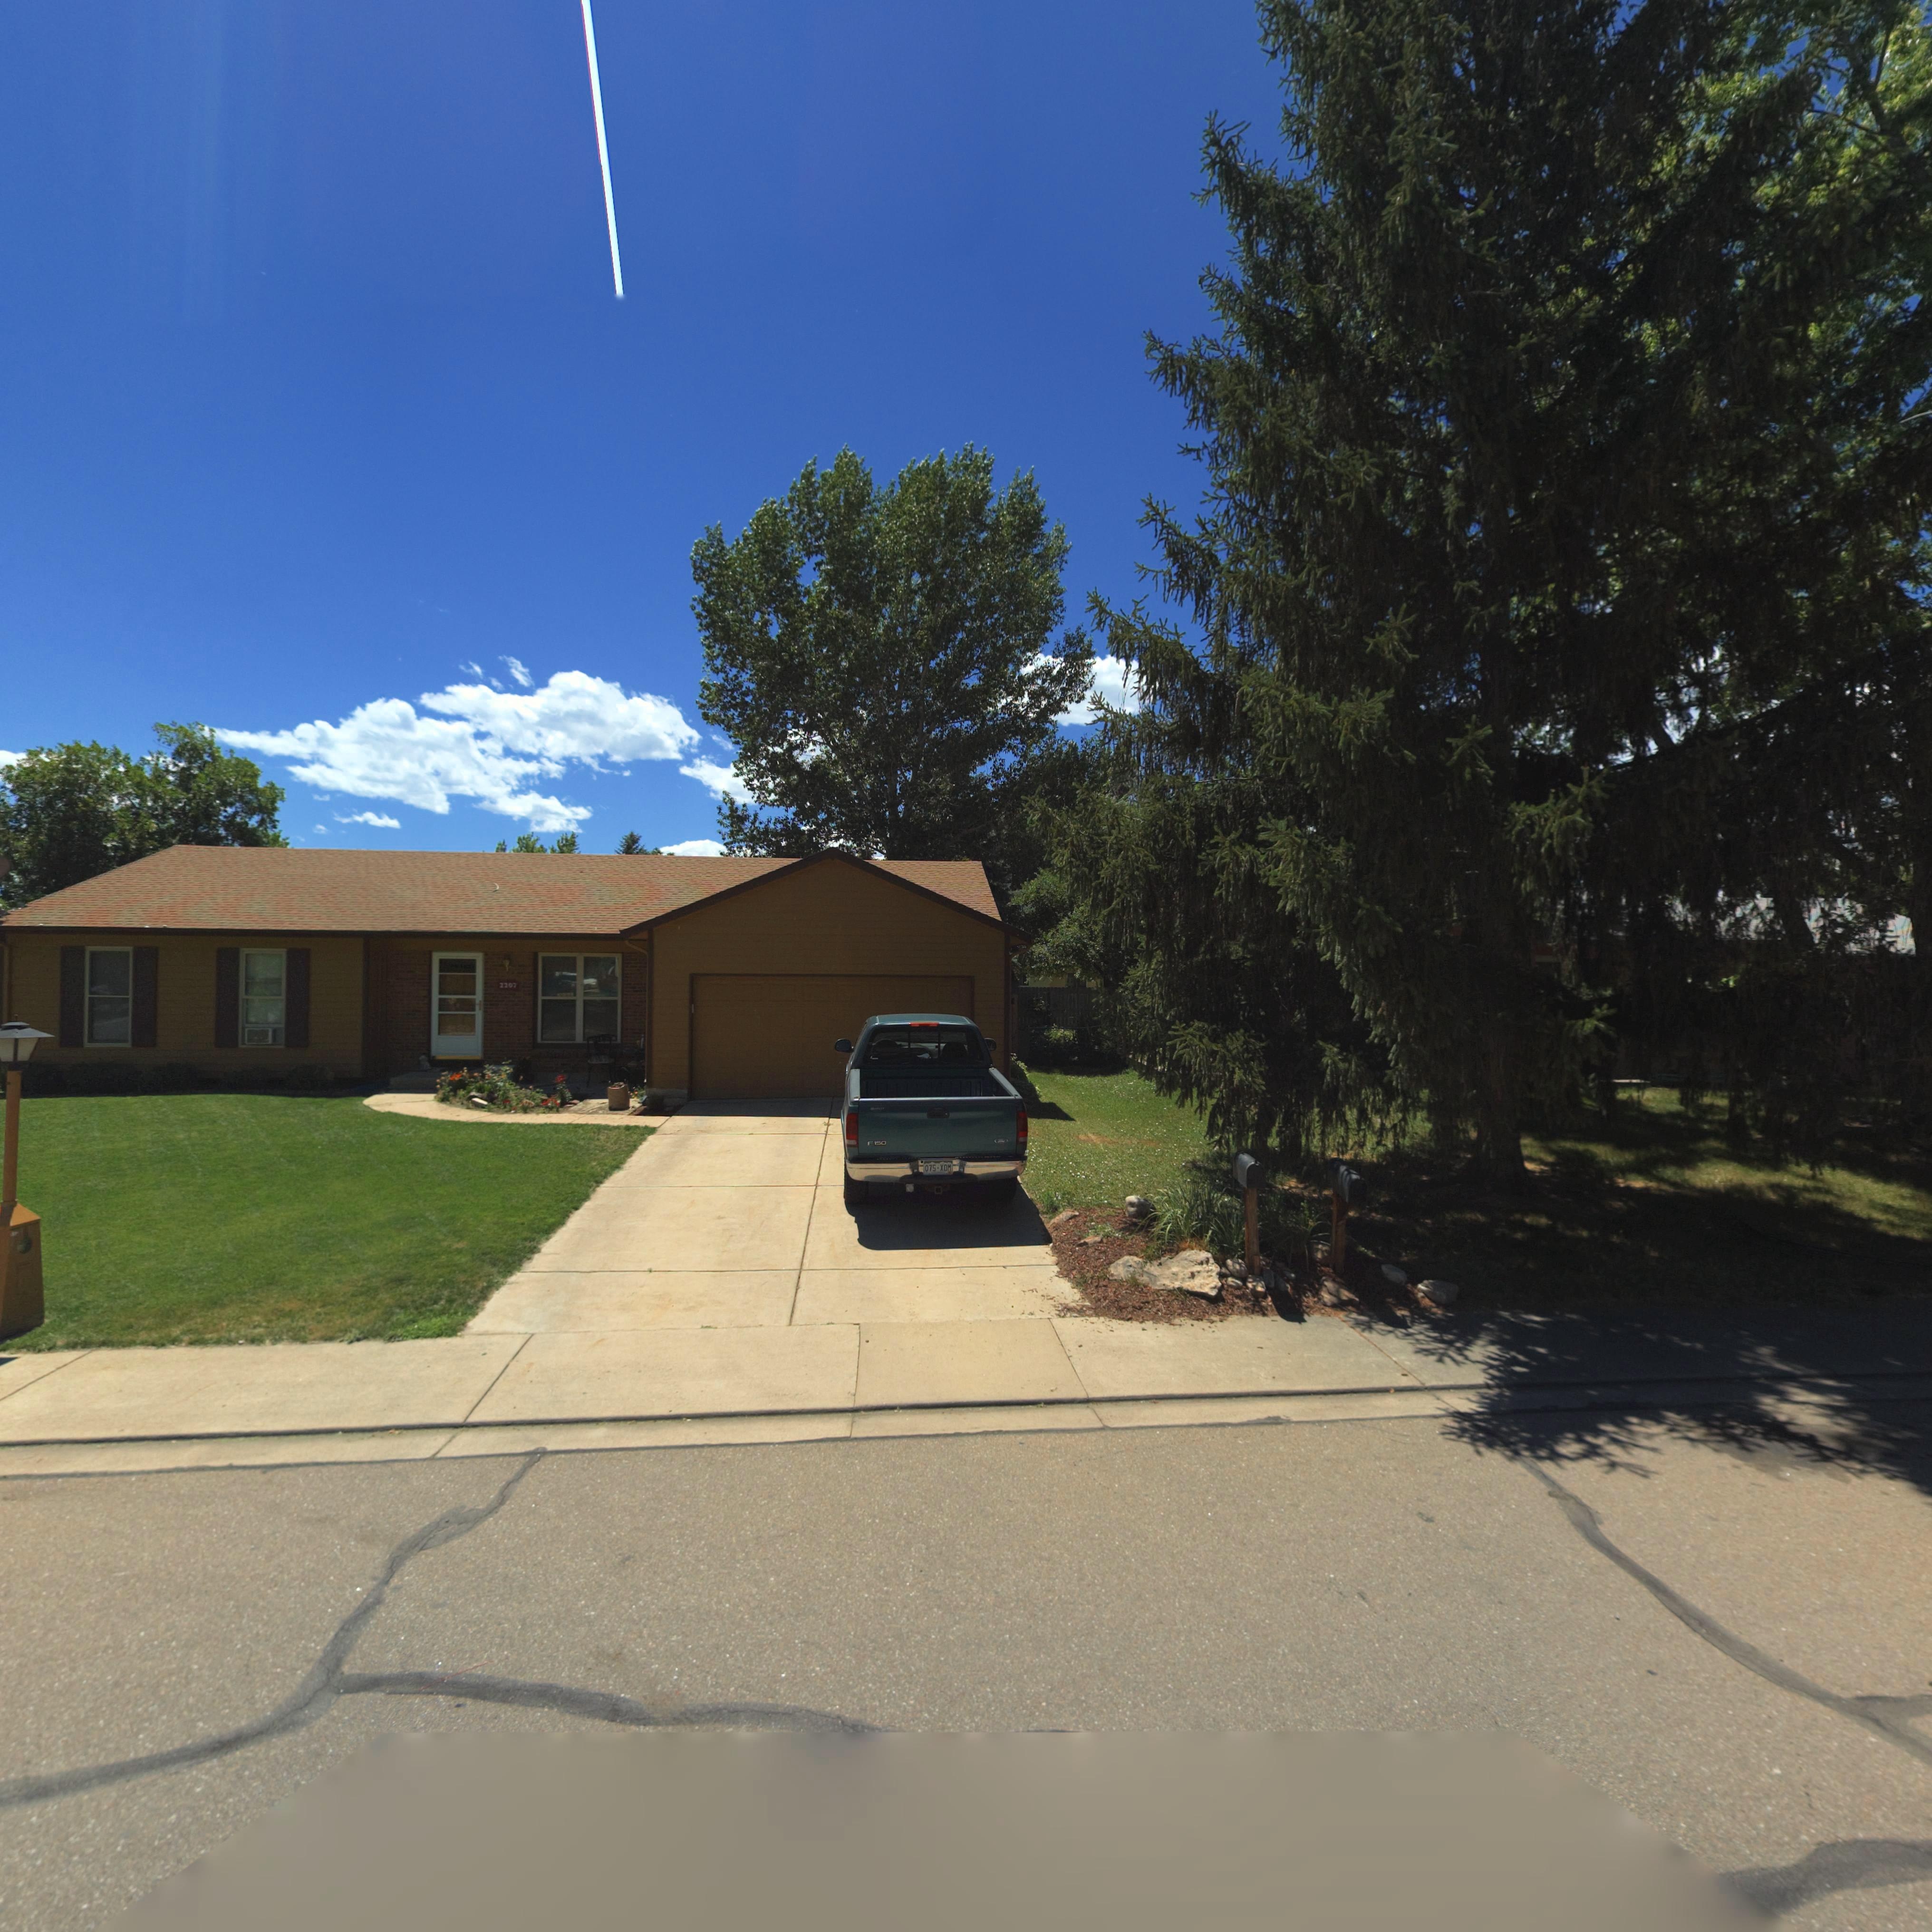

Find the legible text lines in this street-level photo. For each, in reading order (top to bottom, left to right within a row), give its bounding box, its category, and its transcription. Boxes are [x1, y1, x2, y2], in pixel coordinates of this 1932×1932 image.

[499, 982, 516, 988] StreetNumber: 2207